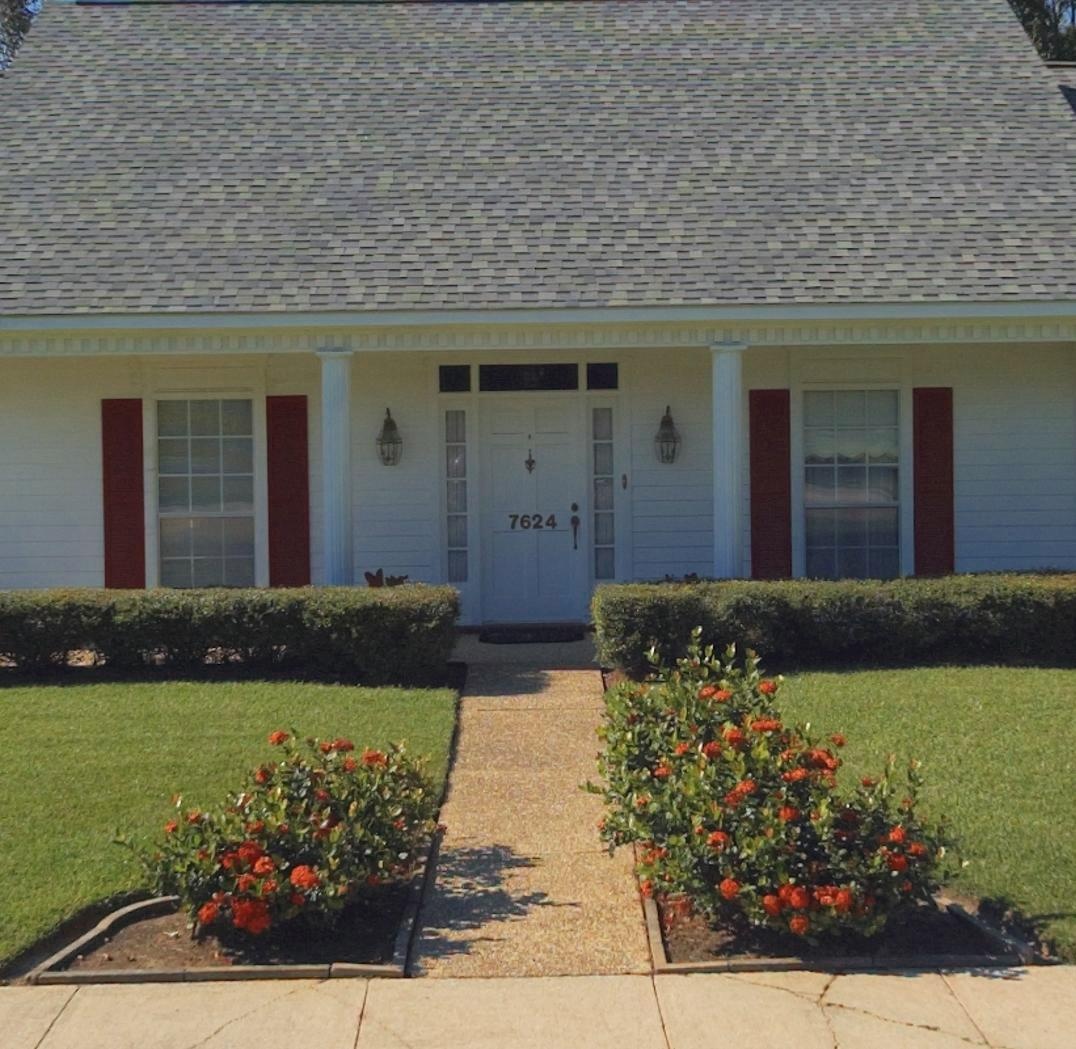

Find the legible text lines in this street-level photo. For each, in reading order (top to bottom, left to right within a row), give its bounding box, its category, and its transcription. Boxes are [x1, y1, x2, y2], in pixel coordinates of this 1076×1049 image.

[508, 513, 558, 530] StreetNumber: 7624